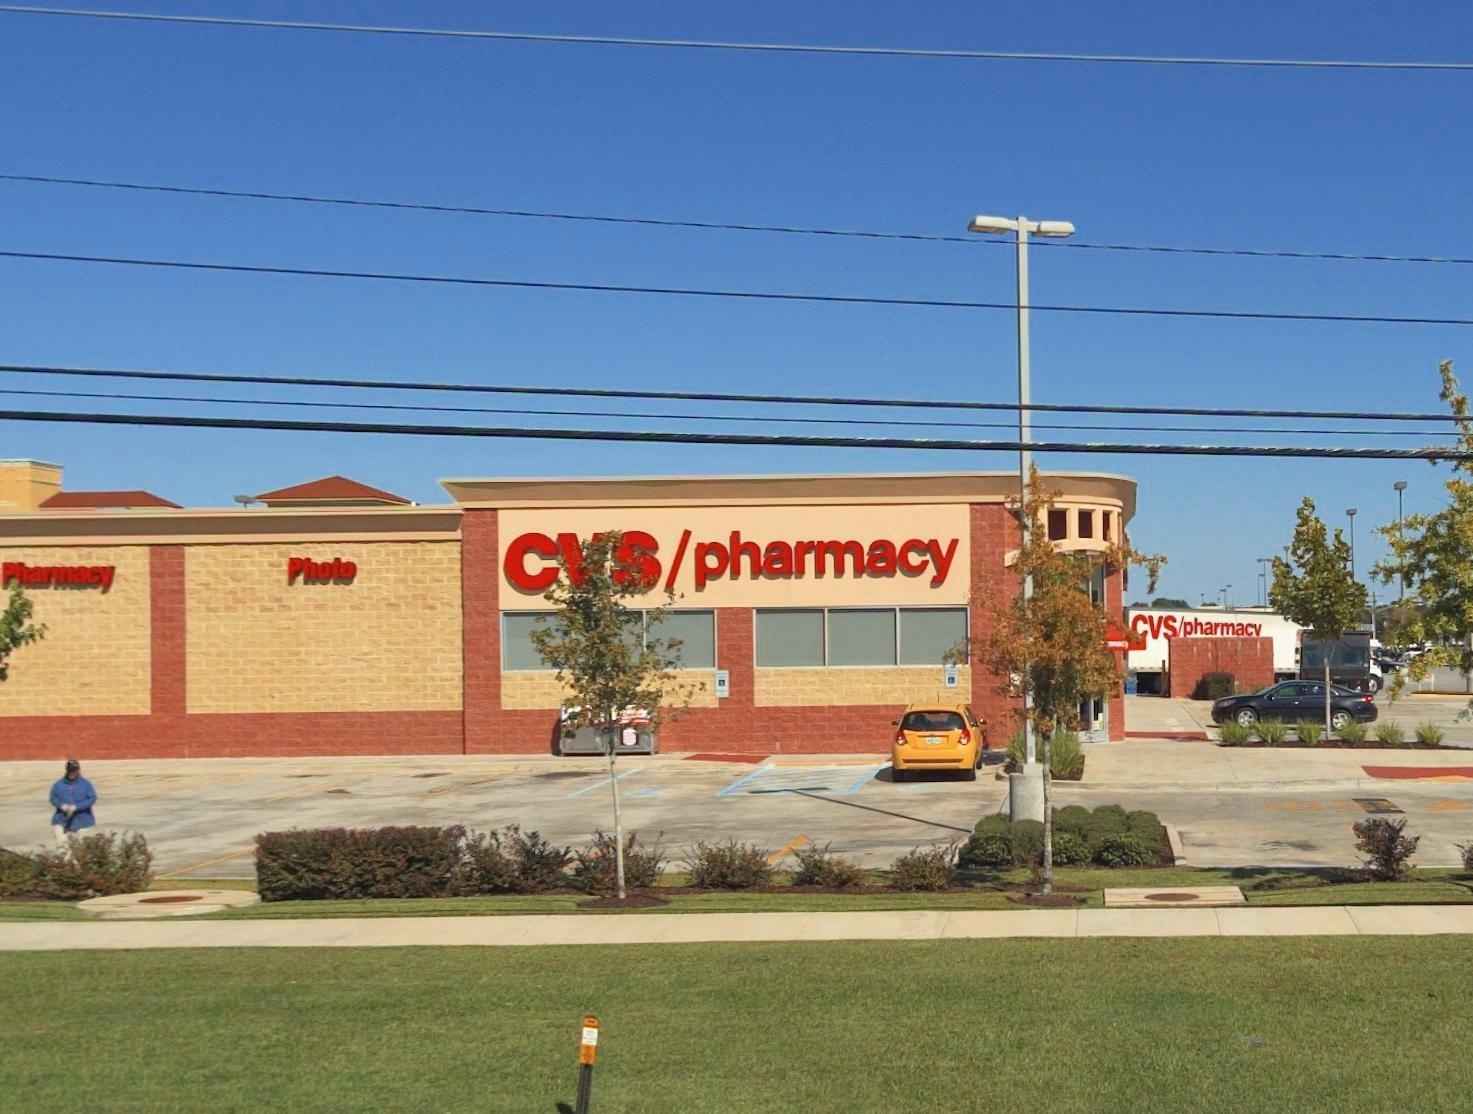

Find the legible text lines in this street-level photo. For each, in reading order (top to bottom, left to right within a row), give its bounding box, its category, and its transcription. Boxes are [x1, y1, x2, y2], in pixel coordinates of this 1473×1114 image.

[1, 559, 117, 590] None: Pharmacy
[285, 554, 358, 583] None: Photo
[500, 526, 964, 596] BusinessName: C*S/Pharmacy
[1144, 612, 1266, 642] BusinessName: VS/*harmac*